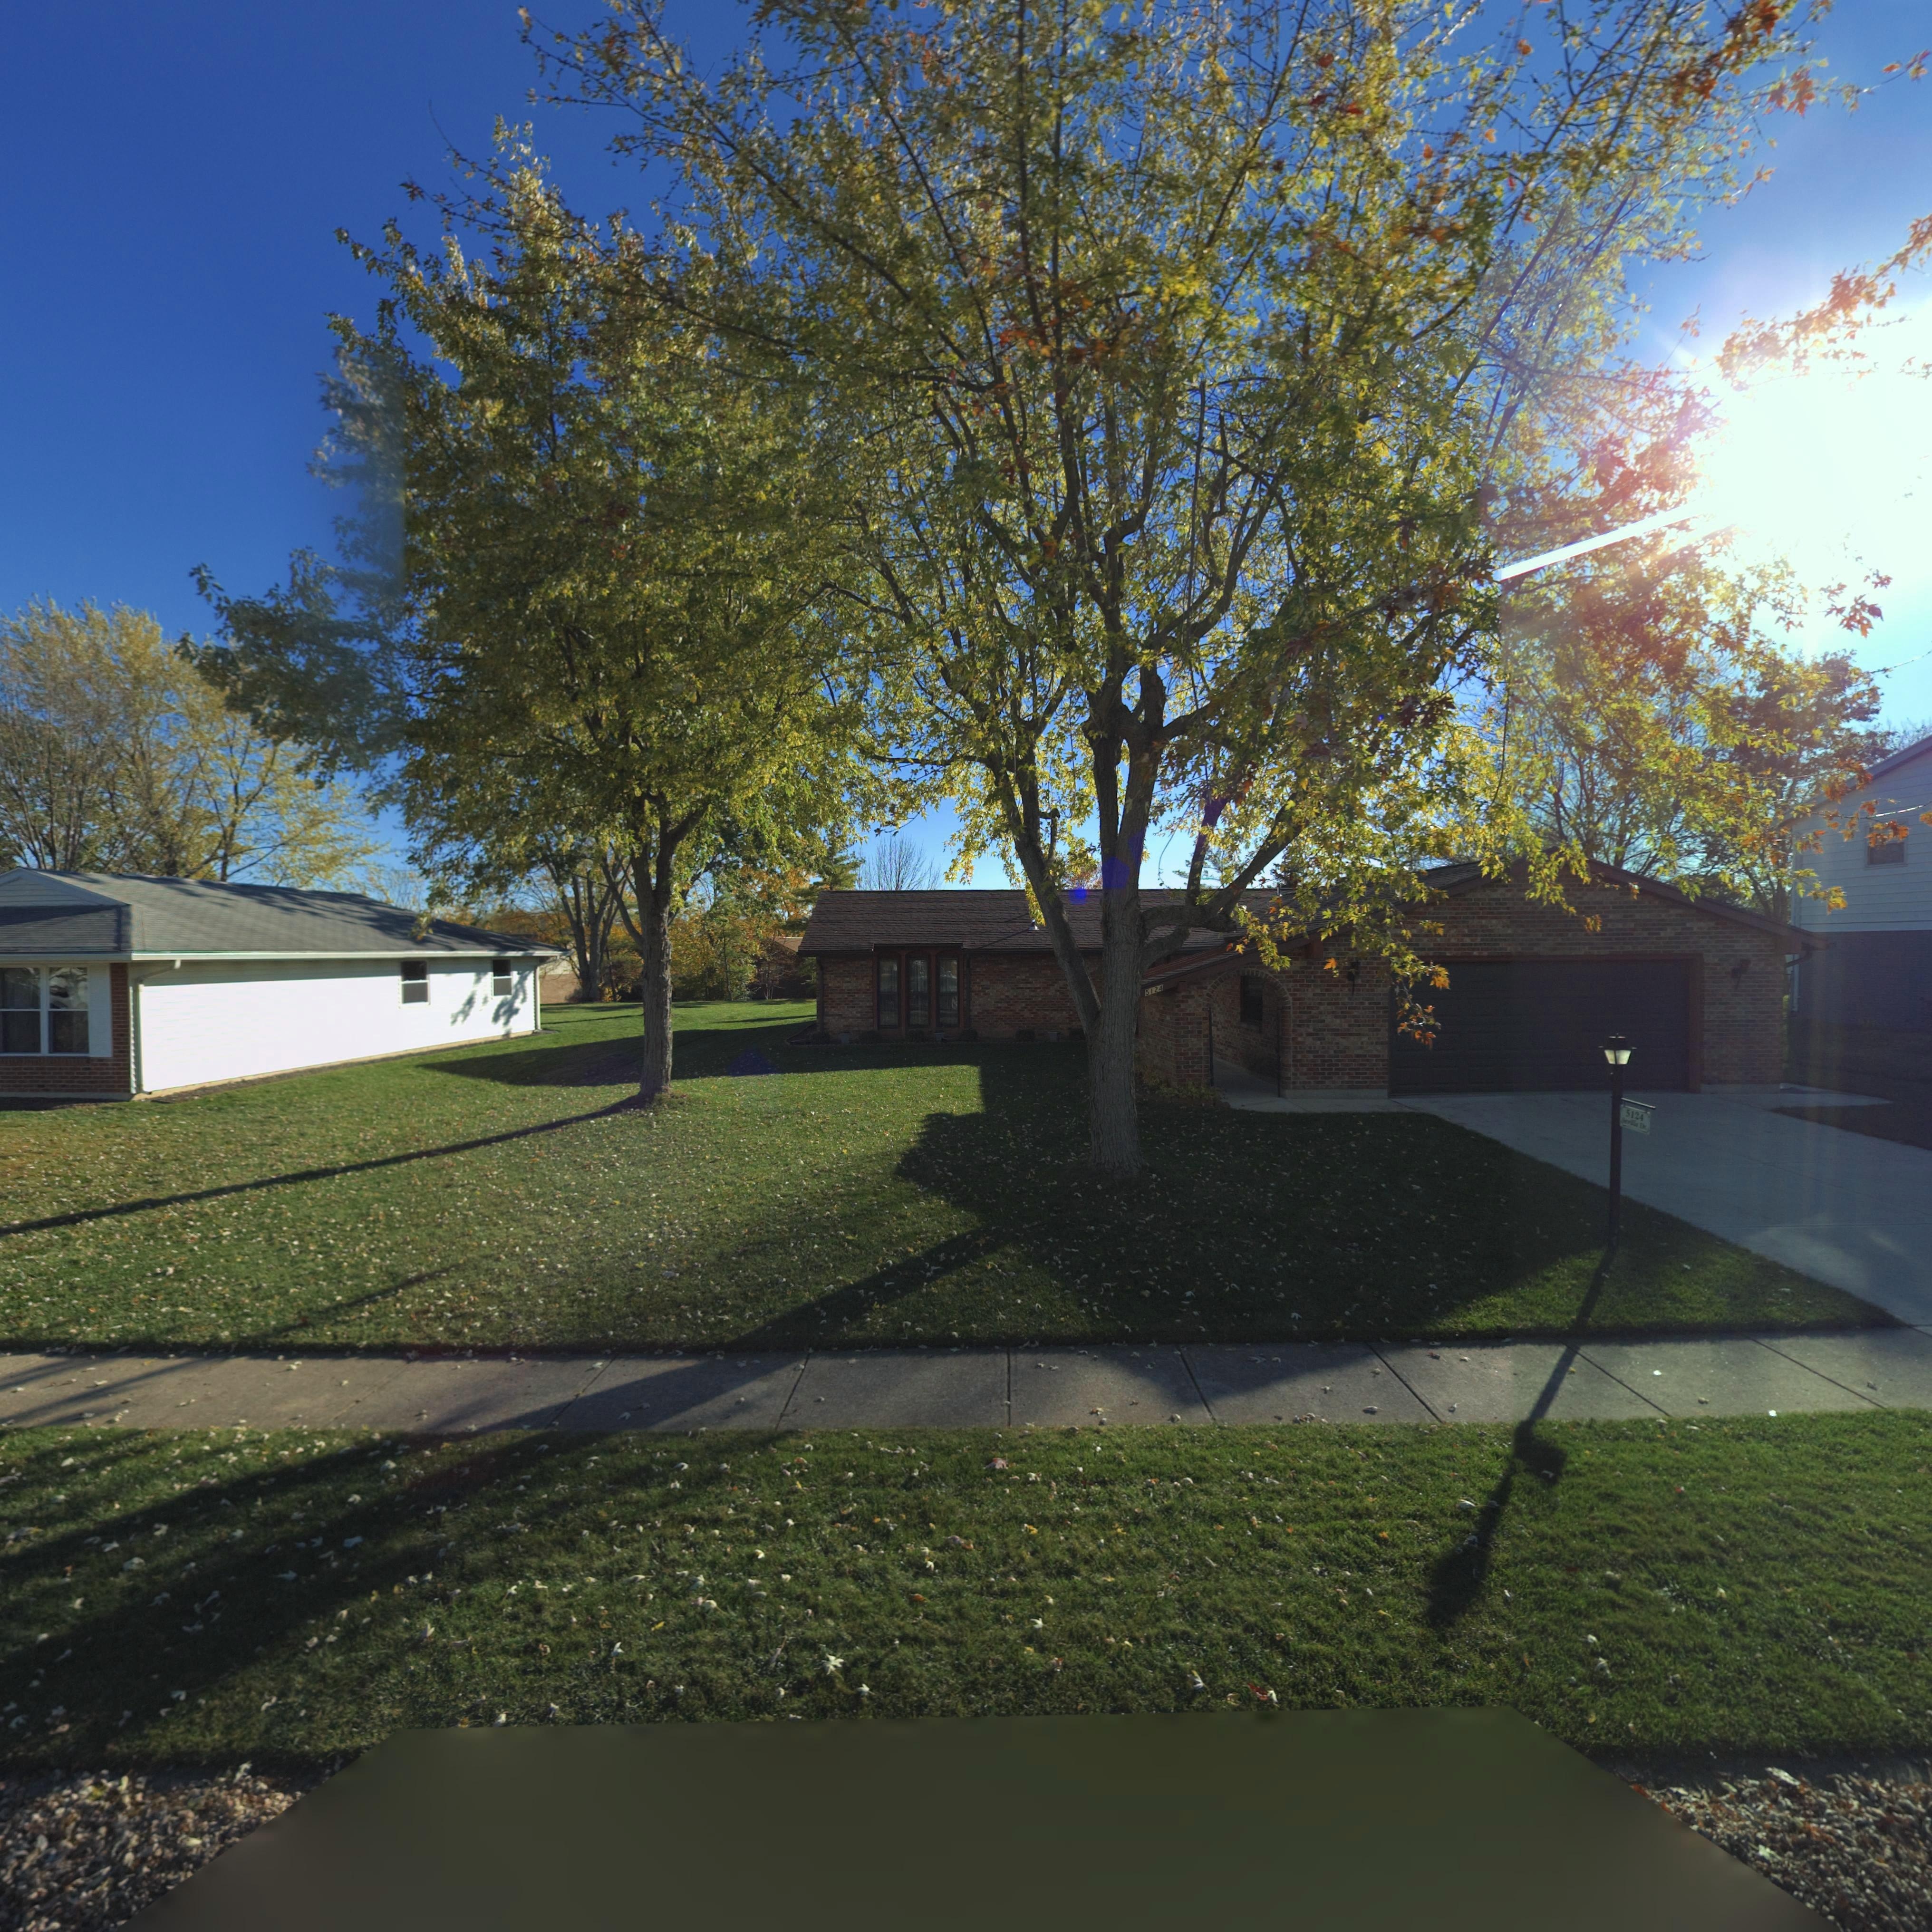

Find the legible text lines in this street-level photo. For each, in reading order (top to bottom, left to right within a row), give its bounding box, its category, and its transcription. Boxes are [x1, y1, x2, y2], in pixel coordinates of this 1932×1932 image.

[1145, 984, 1163, 996] StreetNumber: 5124
[1625, 1109, 1644, 1122] StreetNumber: 5124